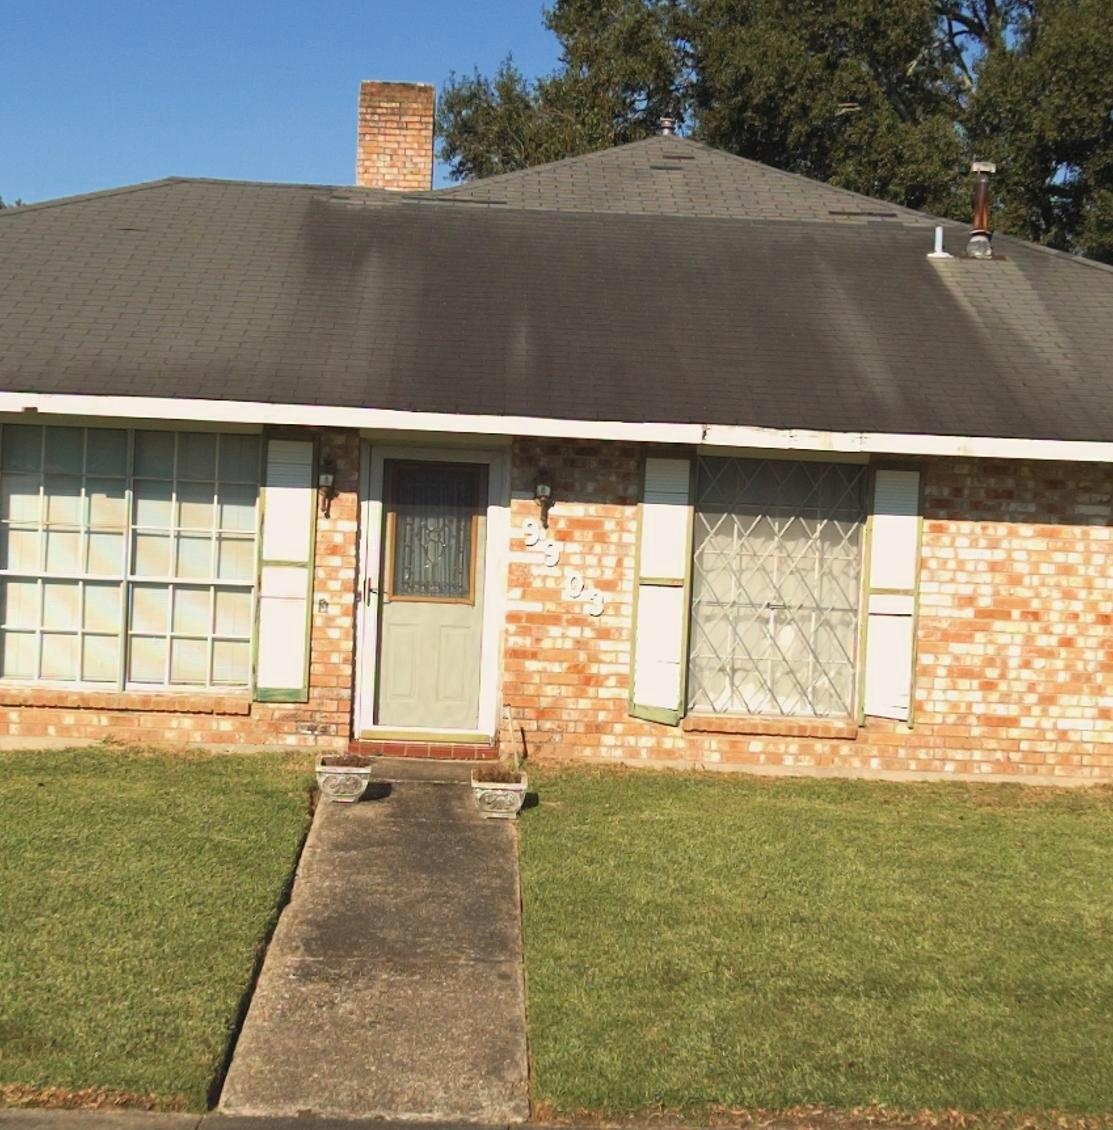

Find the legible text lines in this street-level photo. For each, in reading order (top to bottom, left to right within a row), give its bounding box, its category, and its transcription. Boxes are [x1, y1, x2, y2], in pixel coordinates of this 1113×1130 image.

[521, 516, 607, 619] StreetNumber: 9903